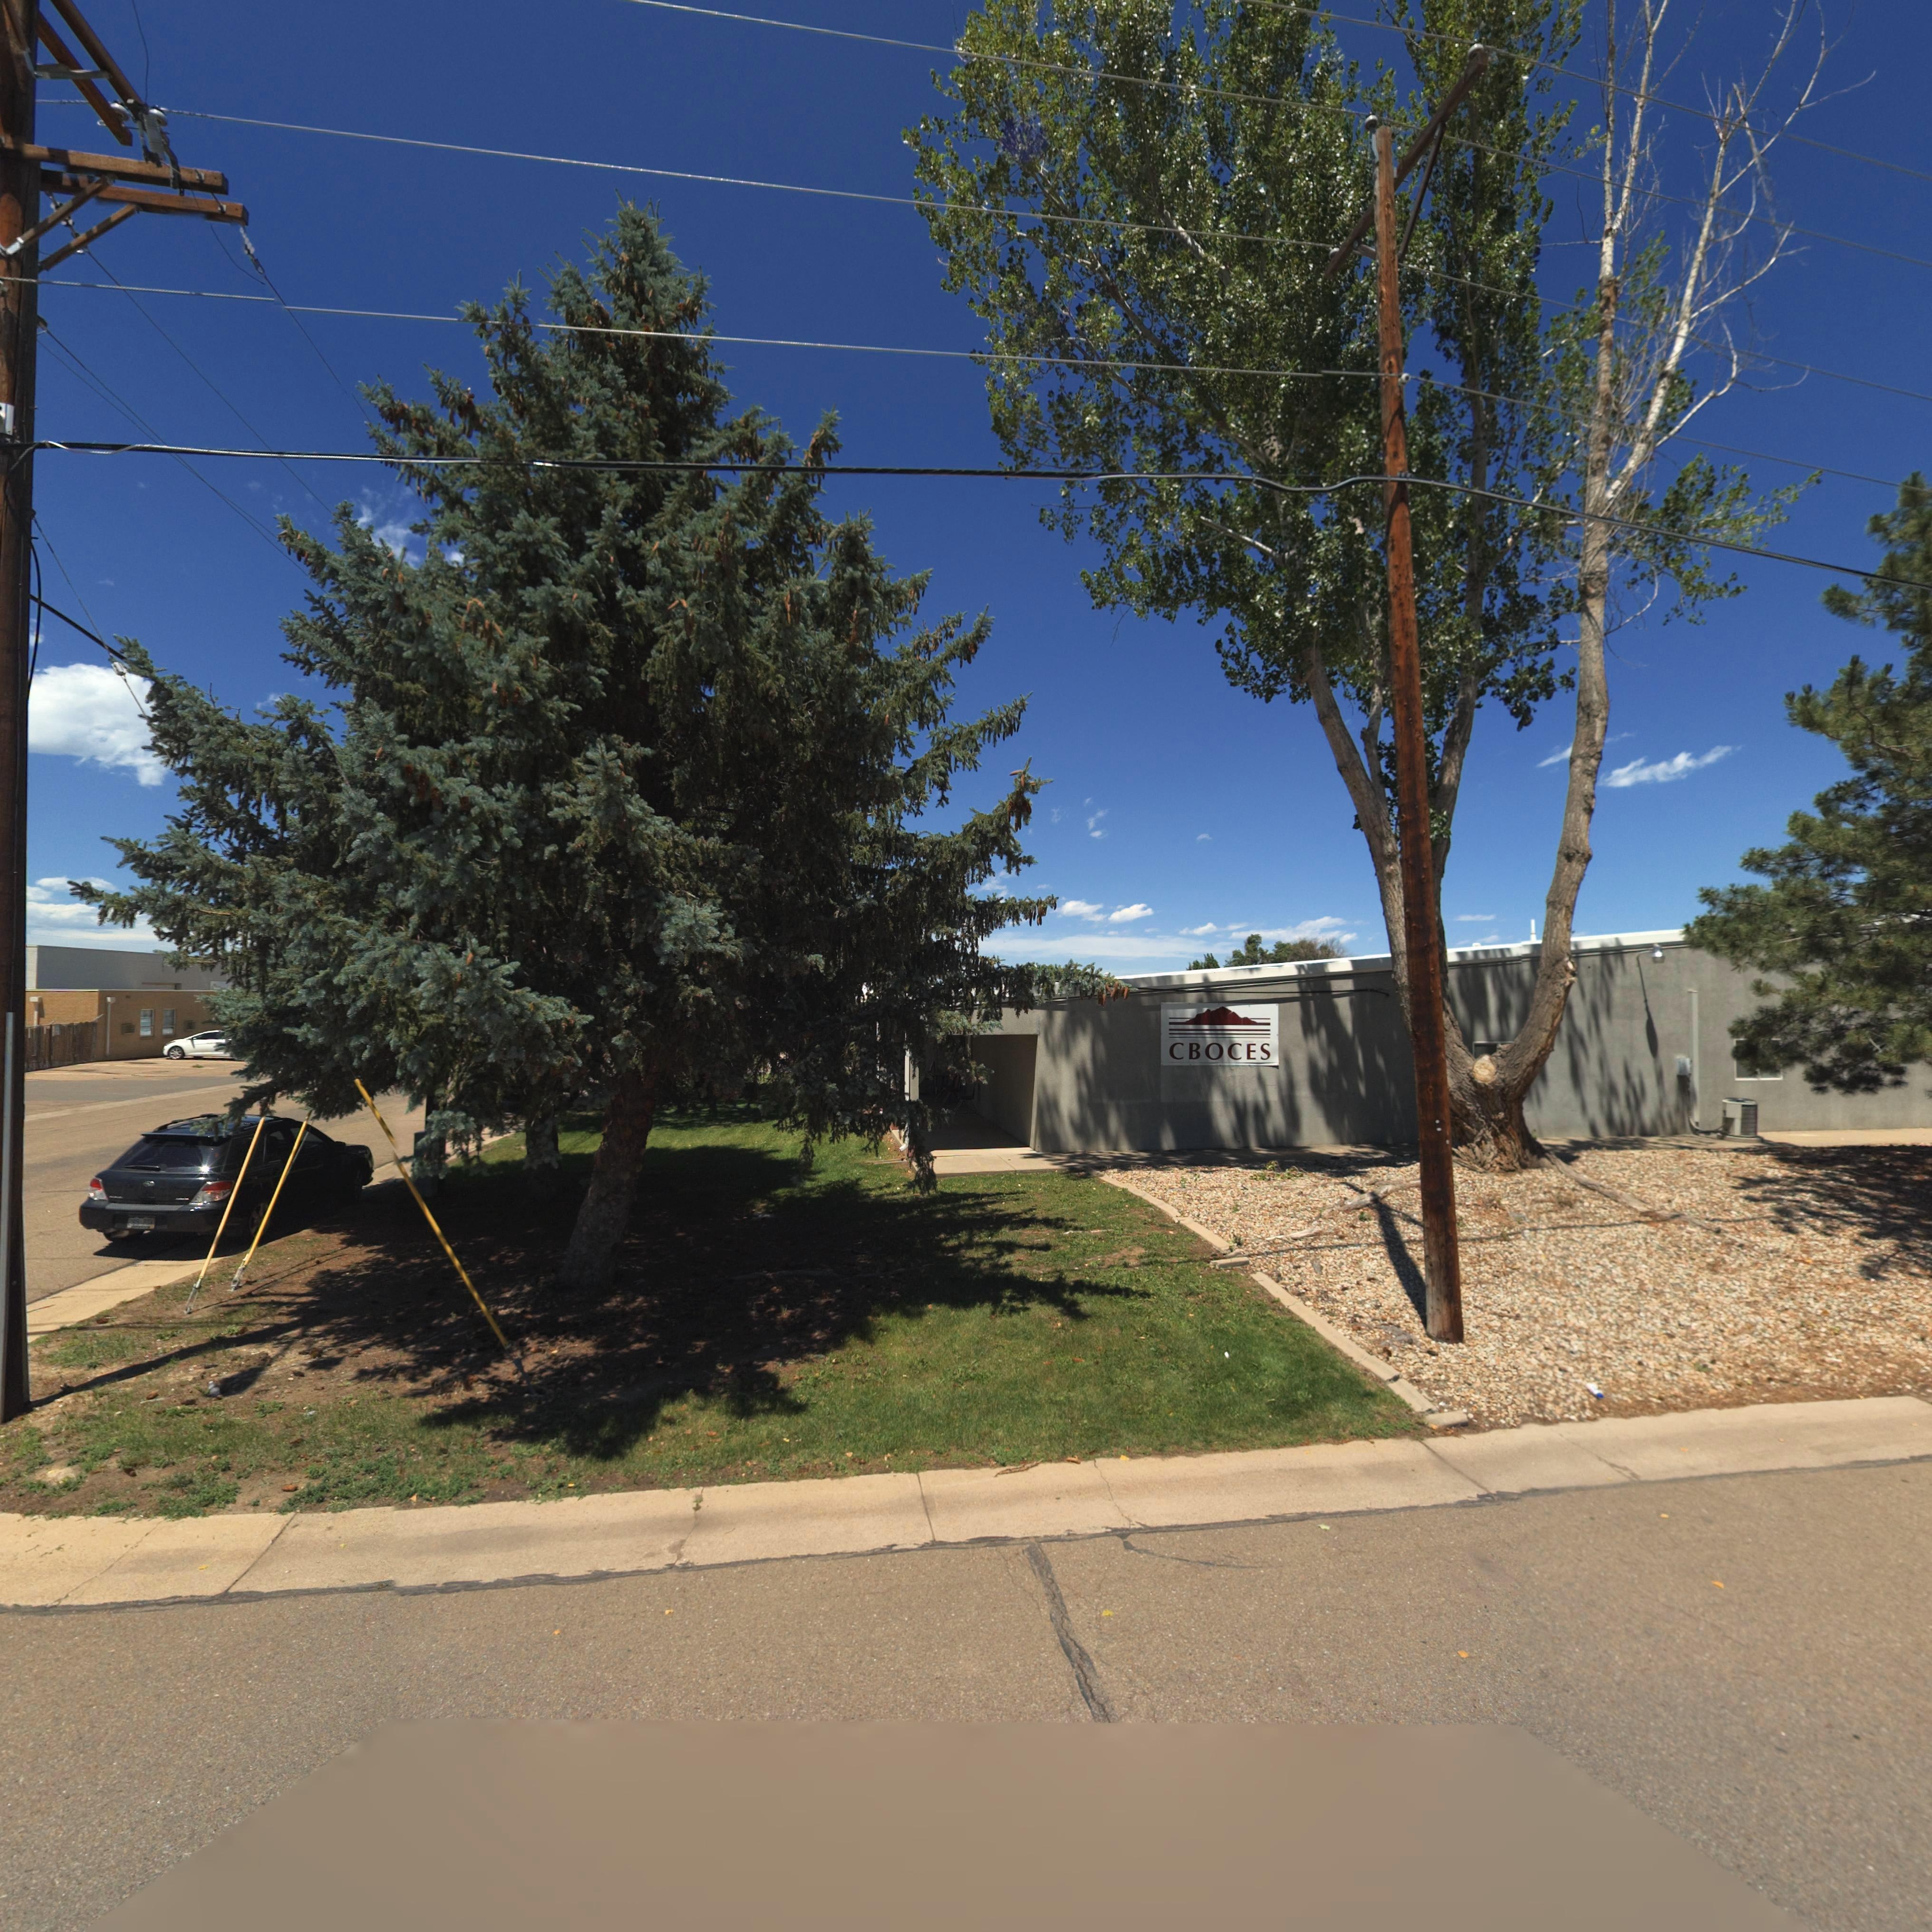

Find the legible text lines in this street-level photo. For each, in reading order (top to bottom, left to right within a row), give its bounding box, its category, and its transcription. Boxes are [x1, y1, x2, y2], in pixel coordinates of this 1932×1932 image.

[1168, 1042, 1270, 1060] BusinessName: CBOCES